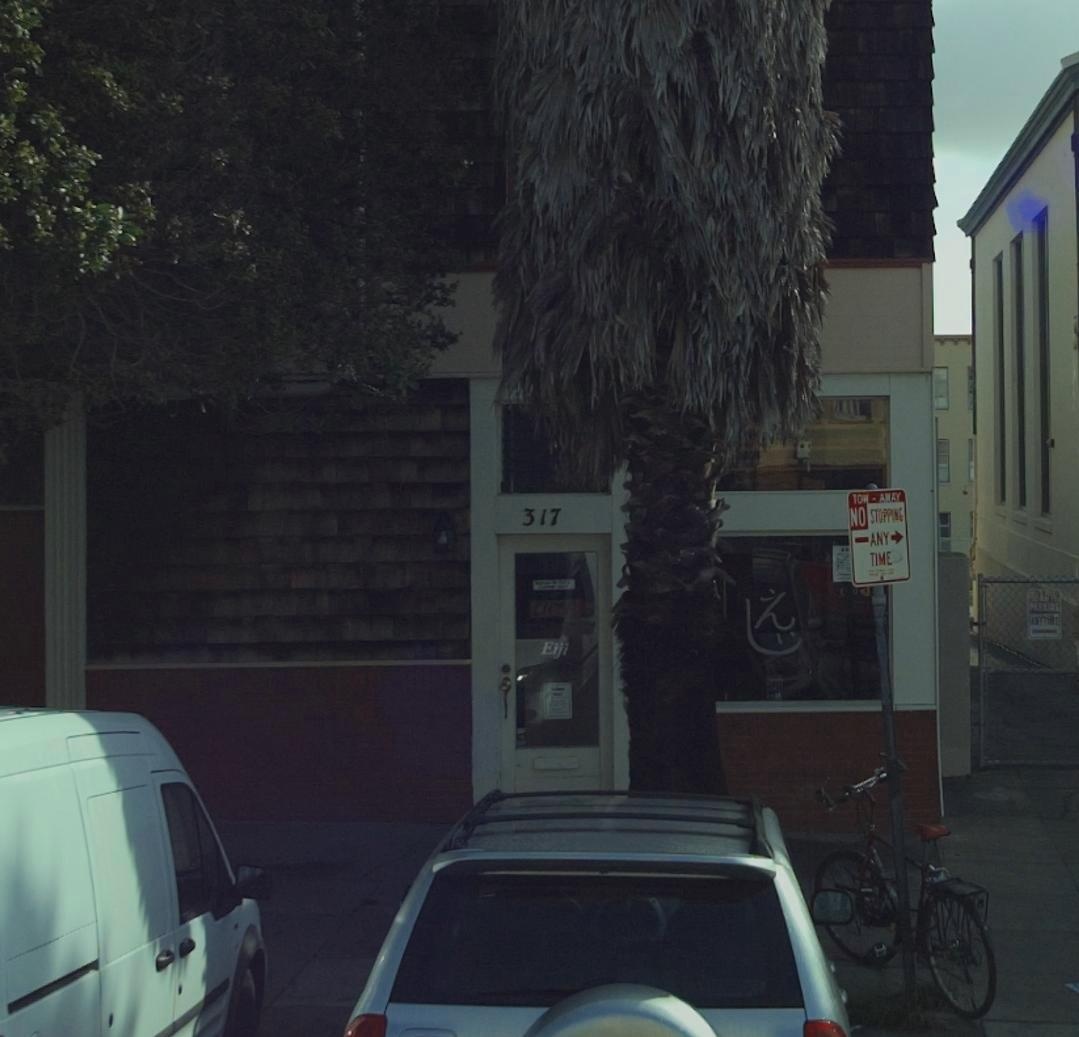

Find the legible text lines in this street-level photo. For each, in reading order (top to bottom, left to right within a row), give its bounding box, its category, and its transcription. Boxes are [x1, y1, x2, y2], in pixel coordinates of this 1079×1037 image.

[848, 492, 902, 504] None: TOW - AWAY
[520, 507, 563, 527] StreetNumber: 317
[848, 506, 867, 528] None: NO
[868, 506, 904, 525] None: STOPPING
[869, 531, 890, 547] None: ANY
[868, 550, 895, 568] None: TIME
[1037, 589, 1049, 602] None: NO
[1029, 602, 1060, 613] None: PARKING
[1029, 615, 1060, 626] None: ANYTIME
[539, 639, 571, 660] None: Eiji